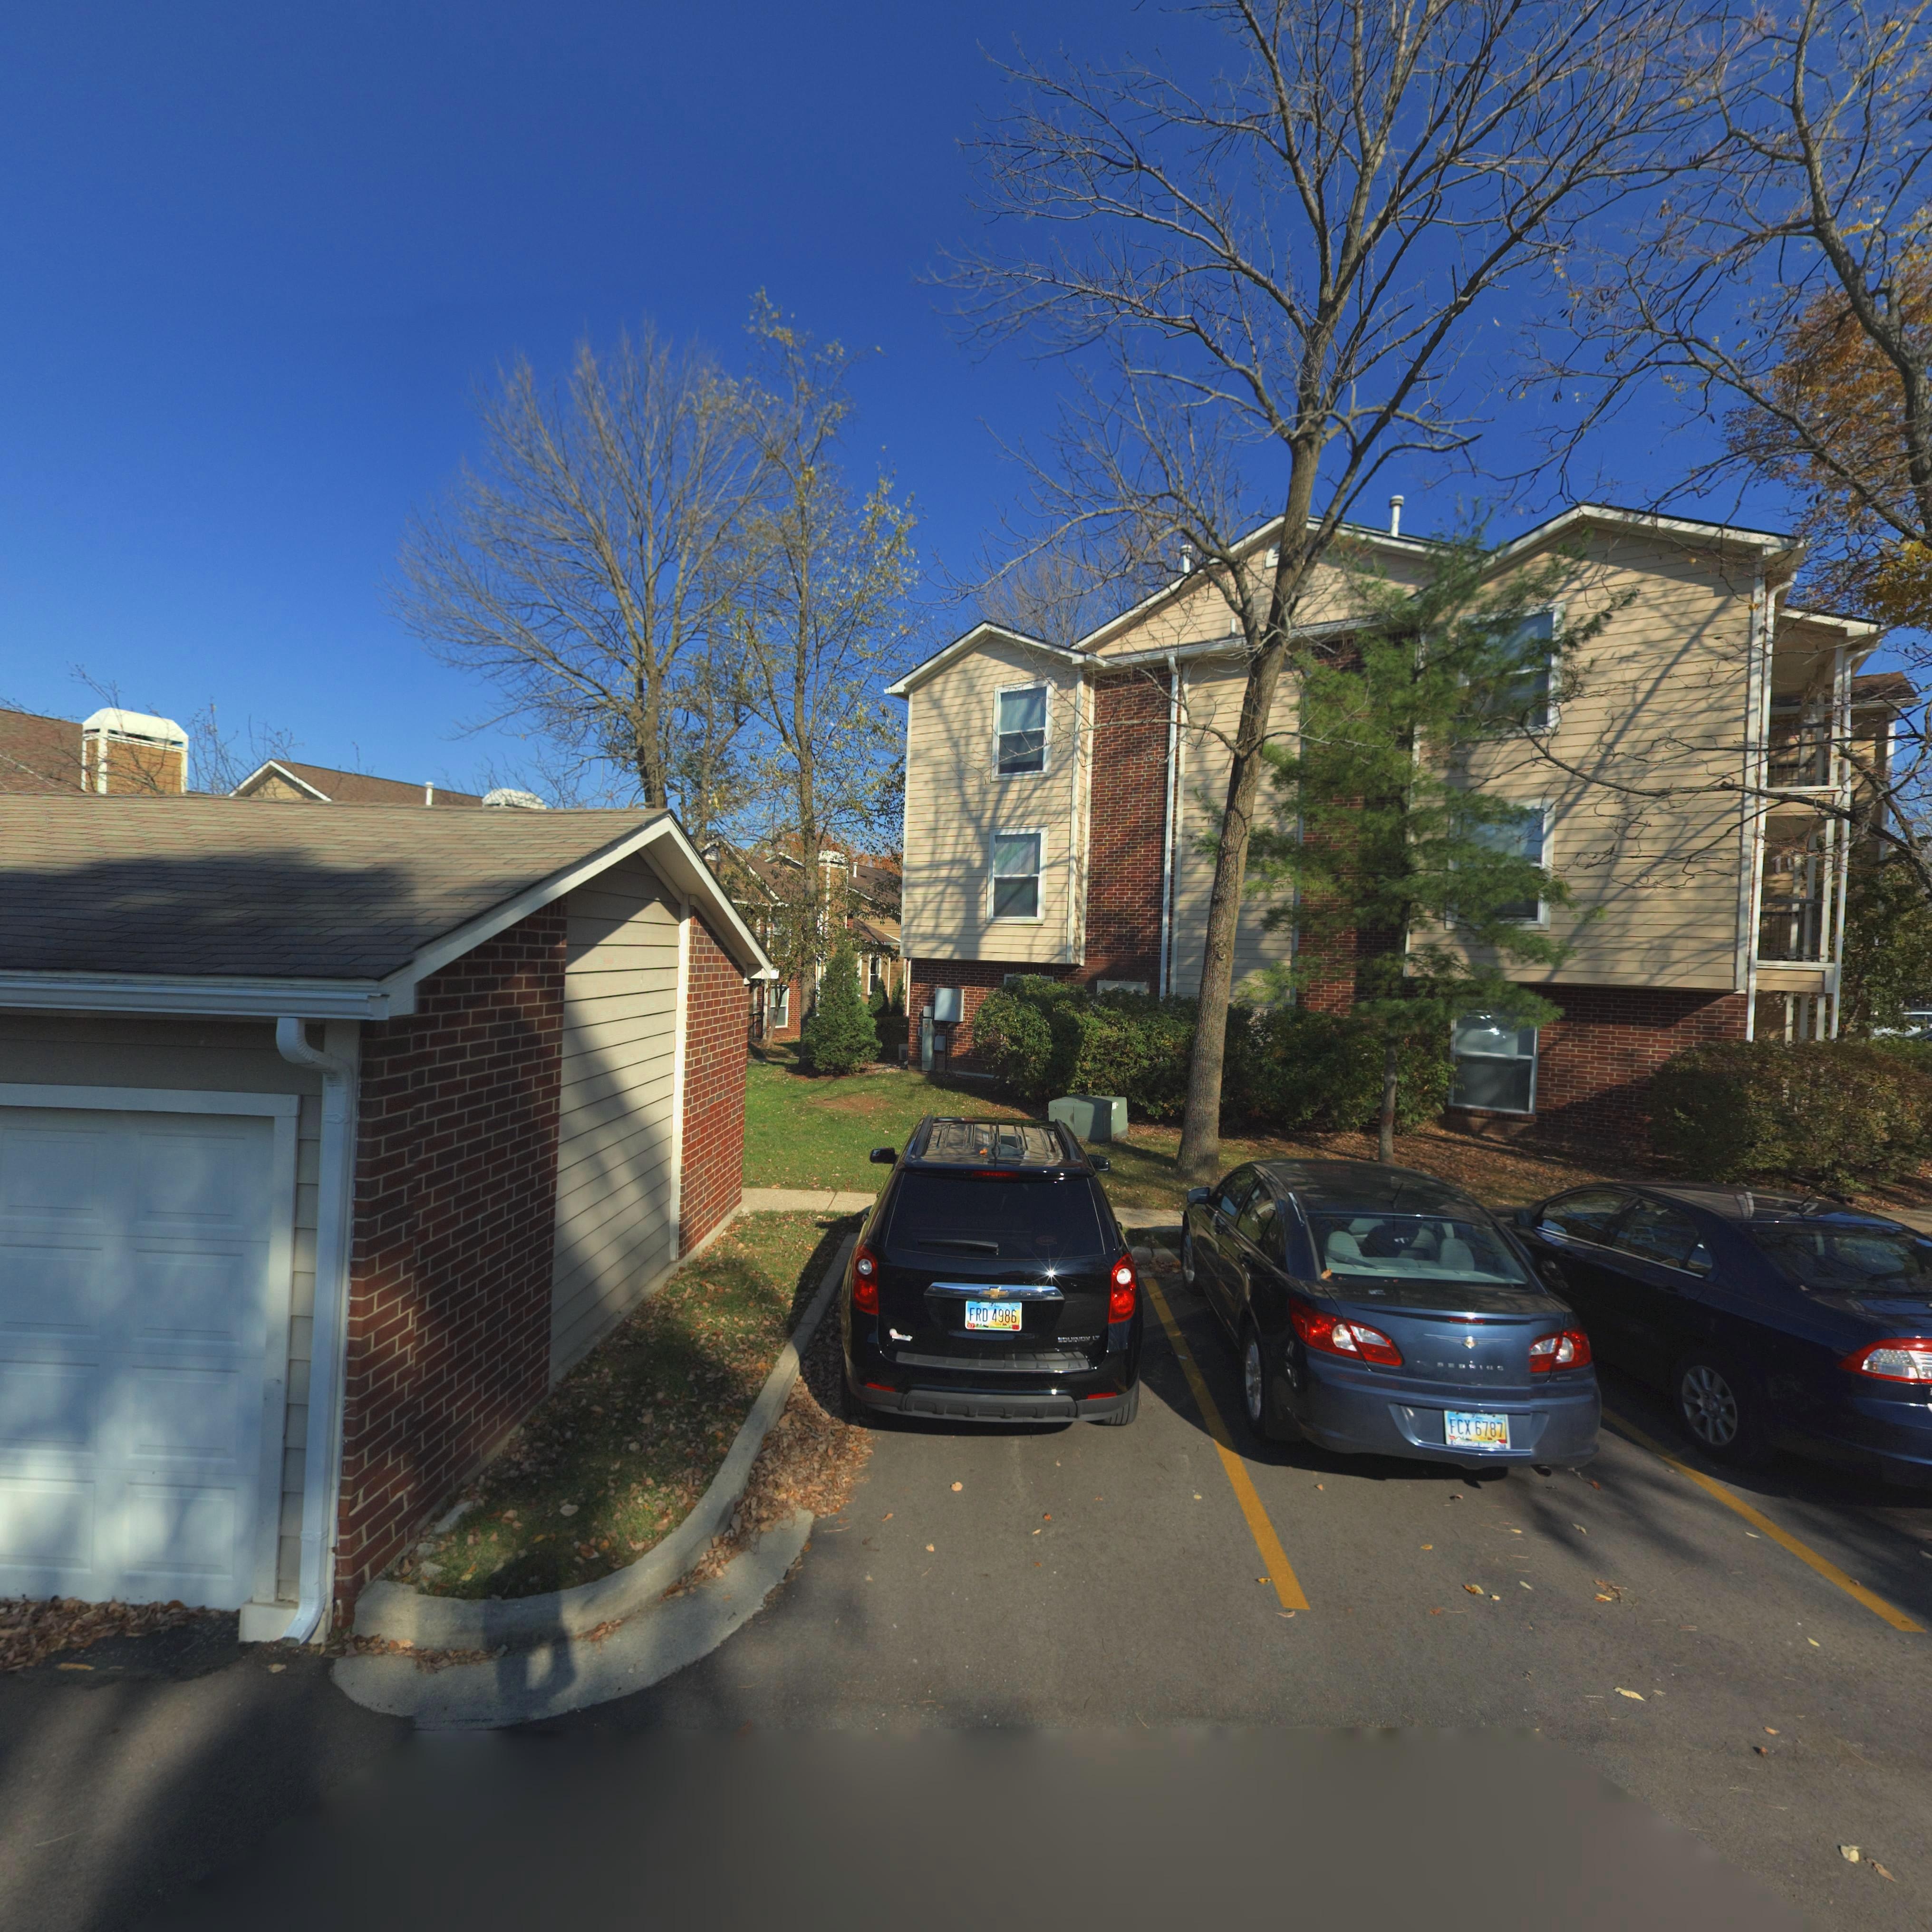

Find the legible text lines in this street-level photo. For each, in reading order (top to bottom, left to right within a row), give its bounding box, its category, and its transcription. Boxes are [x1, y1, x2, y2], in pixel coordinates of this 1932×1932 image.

[969, 1306, 1017, 1324] None: FRD 4986
[967, 1323, 976, 1328] None: *7
[1449, 1416, 1504, 1439] None: FCX 6787